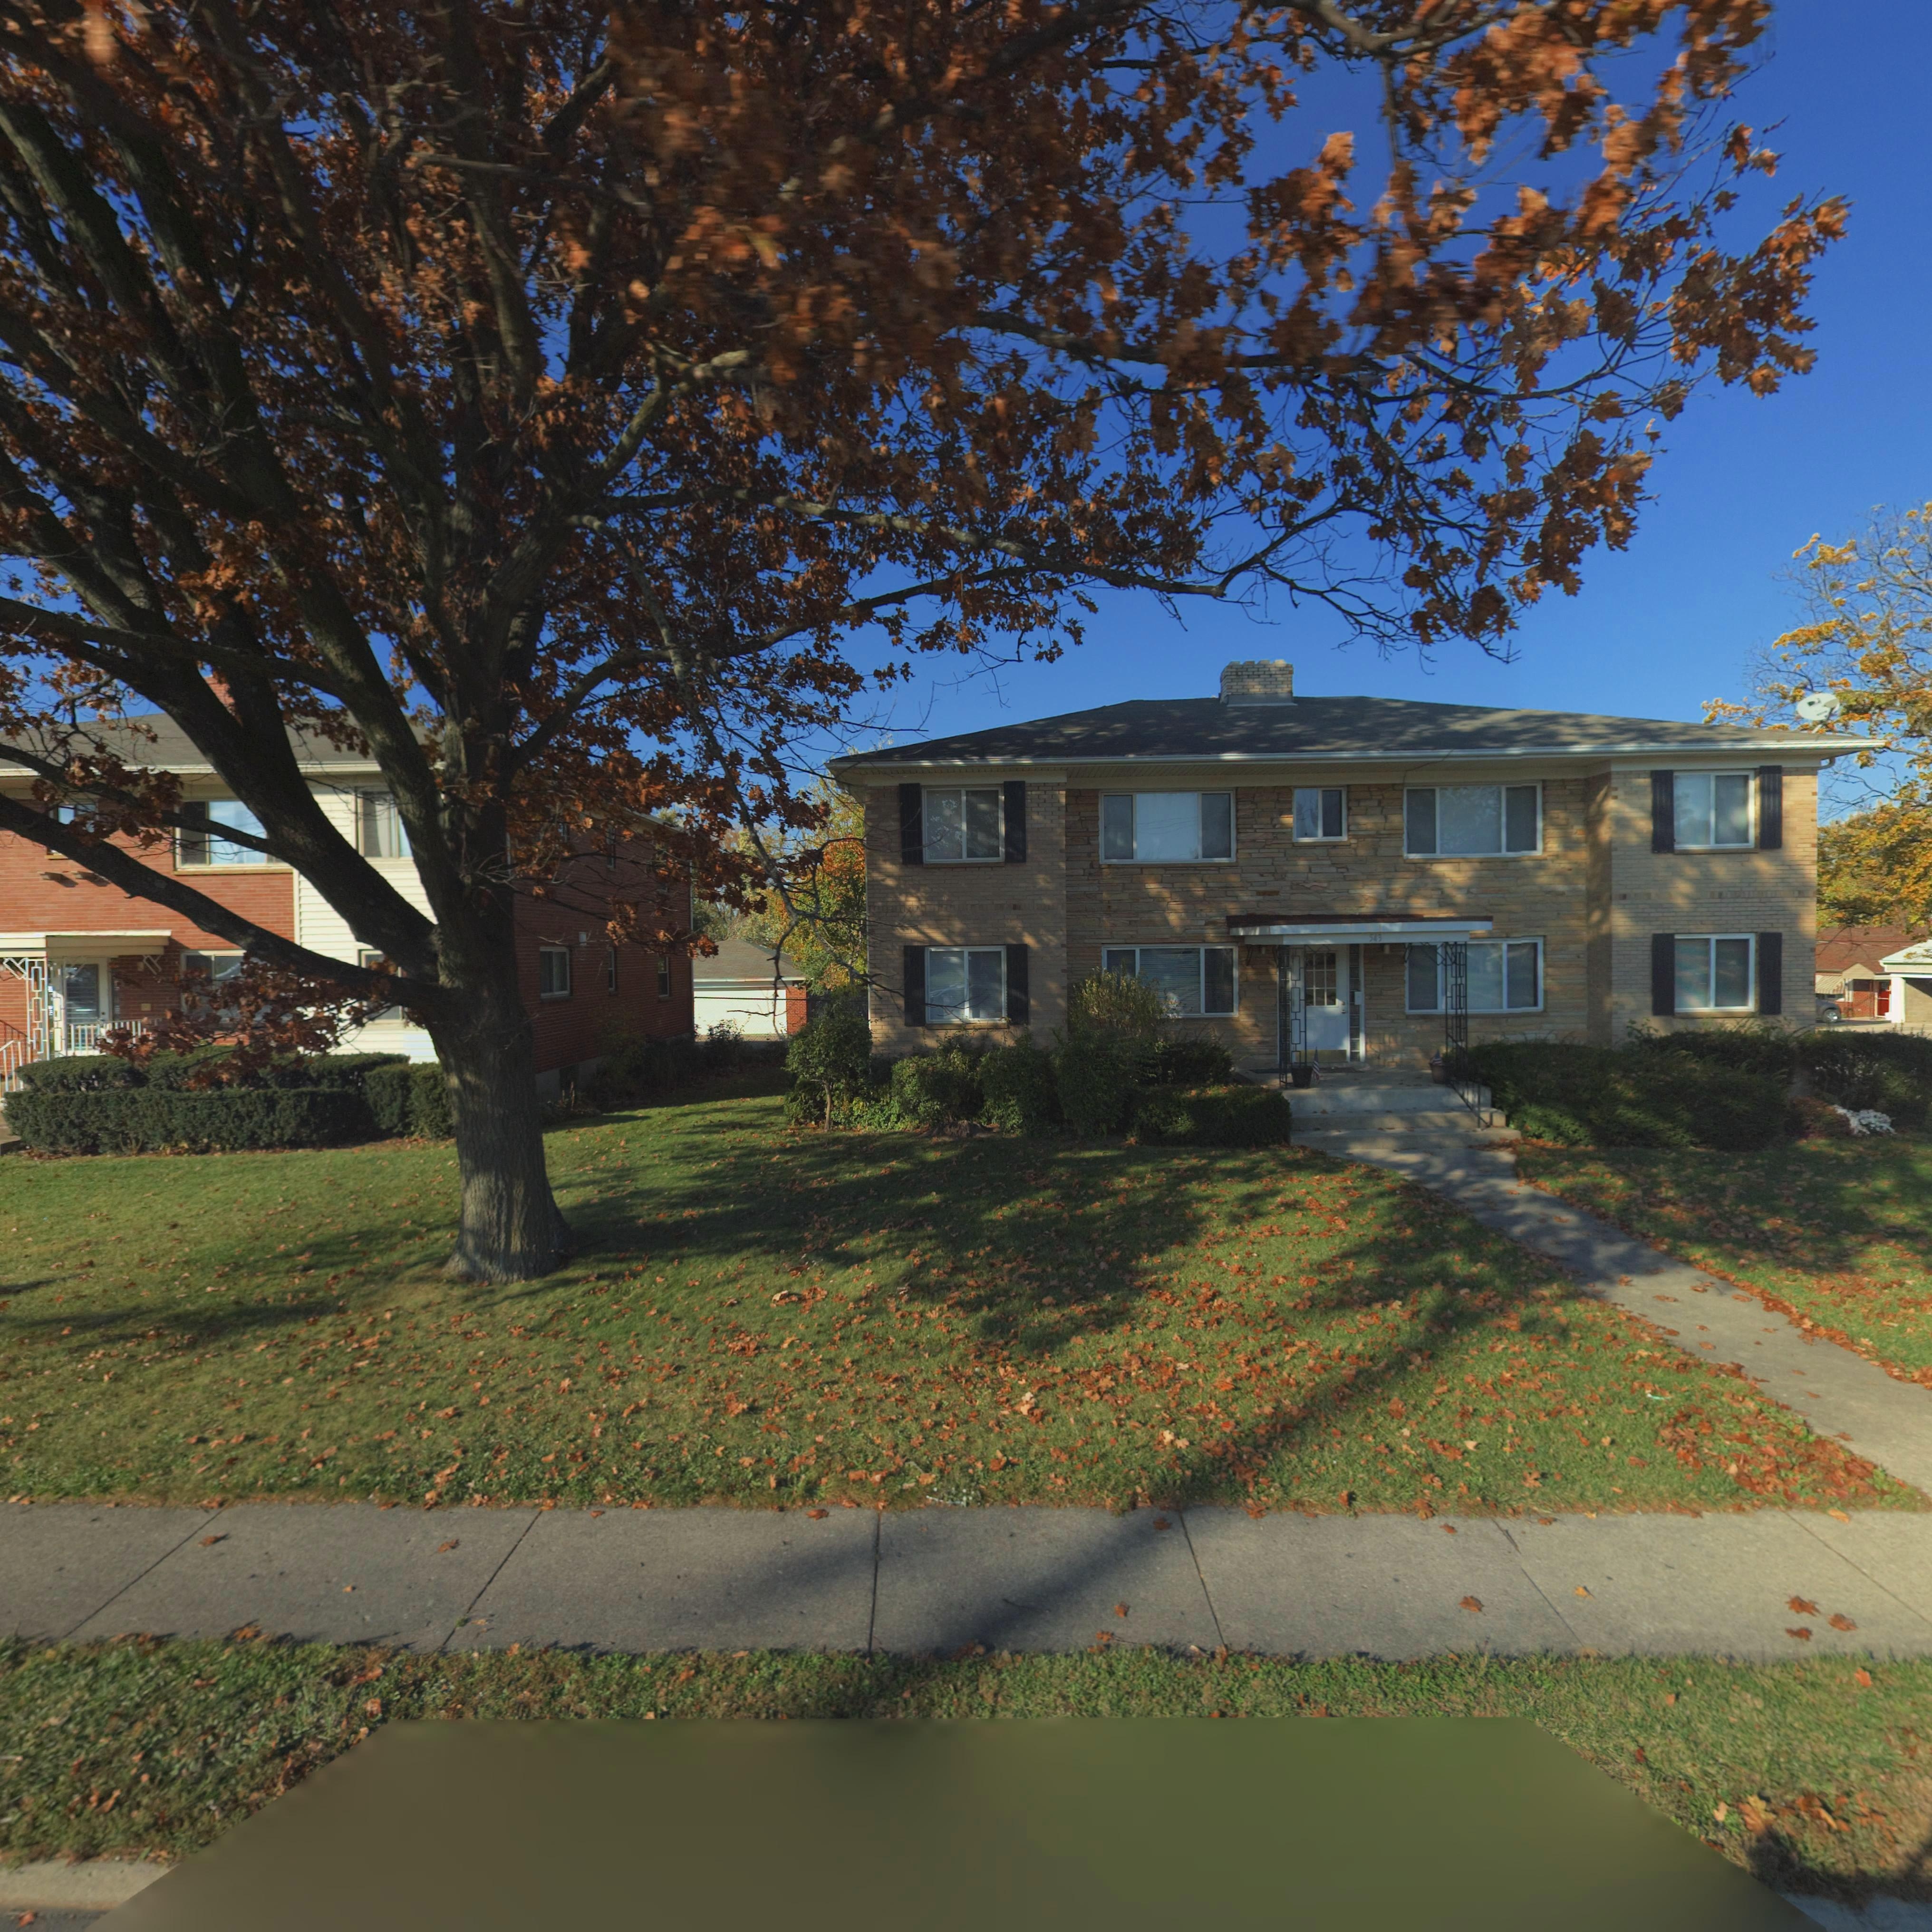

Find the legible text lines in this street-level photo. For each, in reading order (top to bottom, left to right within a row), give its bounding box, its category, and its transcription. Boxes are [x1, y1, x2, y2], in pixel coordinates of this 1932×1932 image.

[1368, 933, 1382, 943] StreetNumber: 543